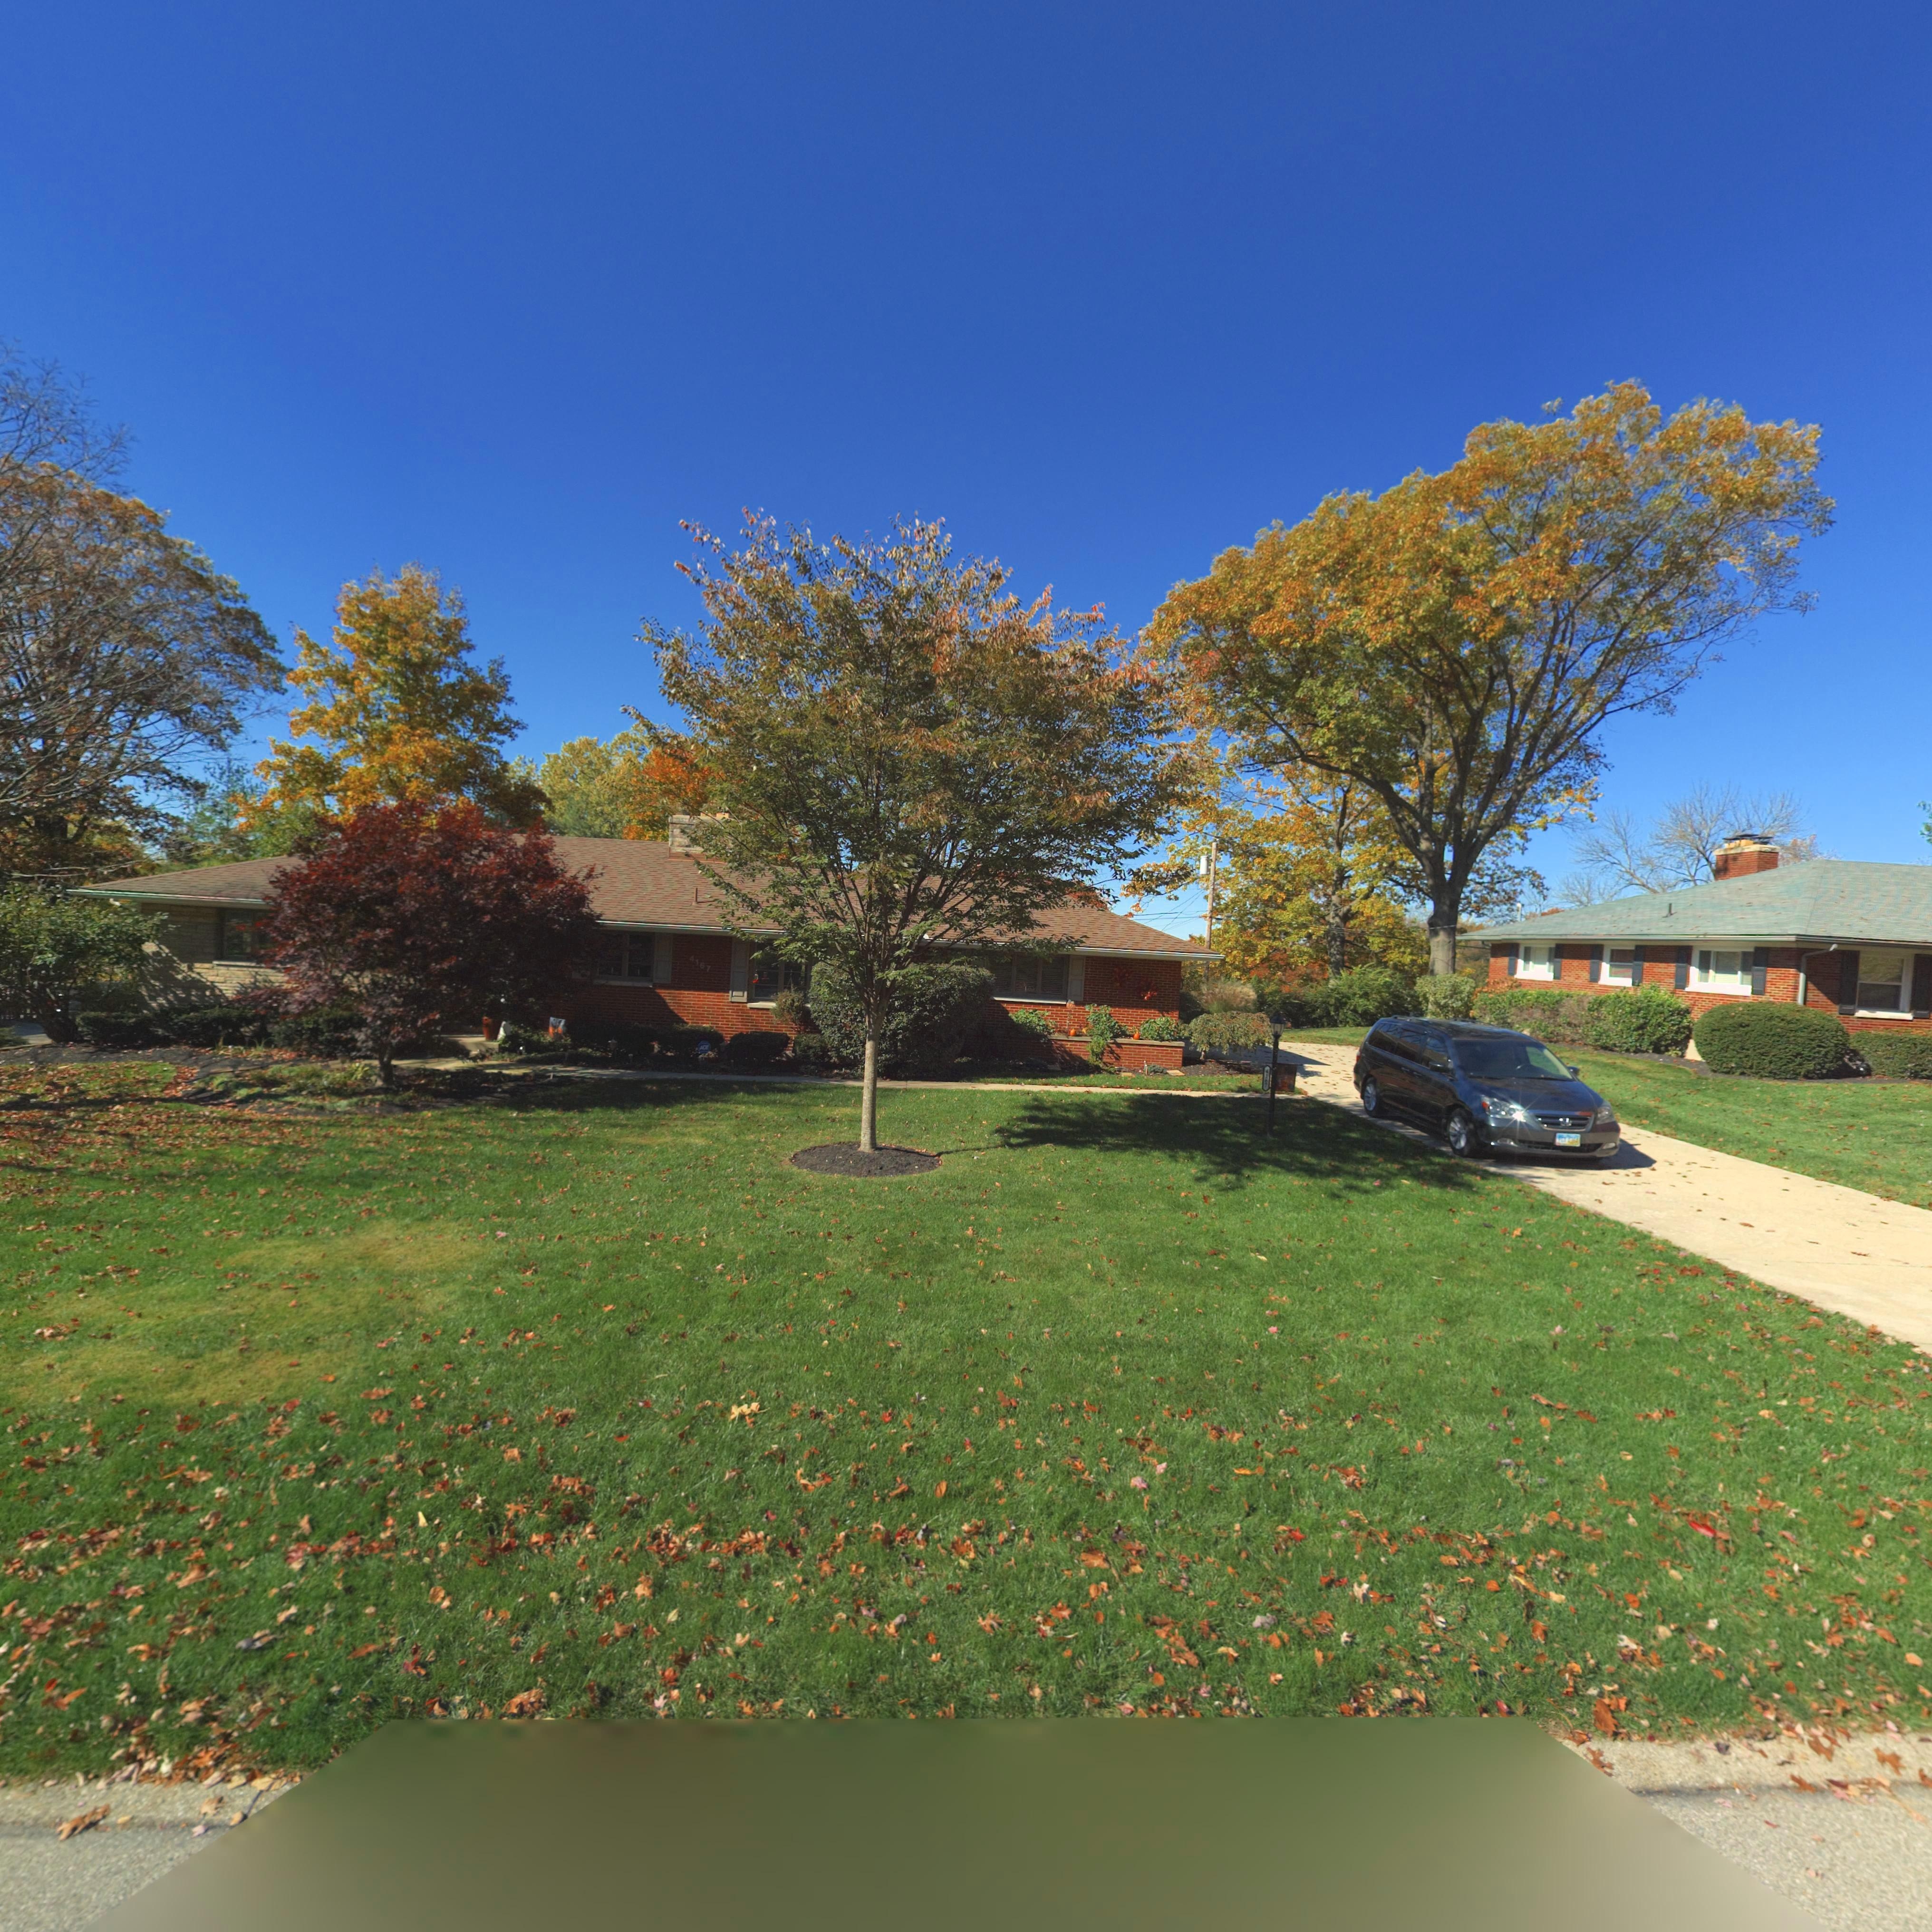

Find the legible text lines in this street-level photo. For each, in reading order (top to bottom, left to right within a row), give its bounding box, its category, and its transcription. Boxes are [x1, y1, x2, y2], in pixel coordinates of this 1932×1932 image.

[688, 955, 713, 973] StreetNumber: 4167
[1264, 1069, 1269, 1088] StreetNumber: 4167